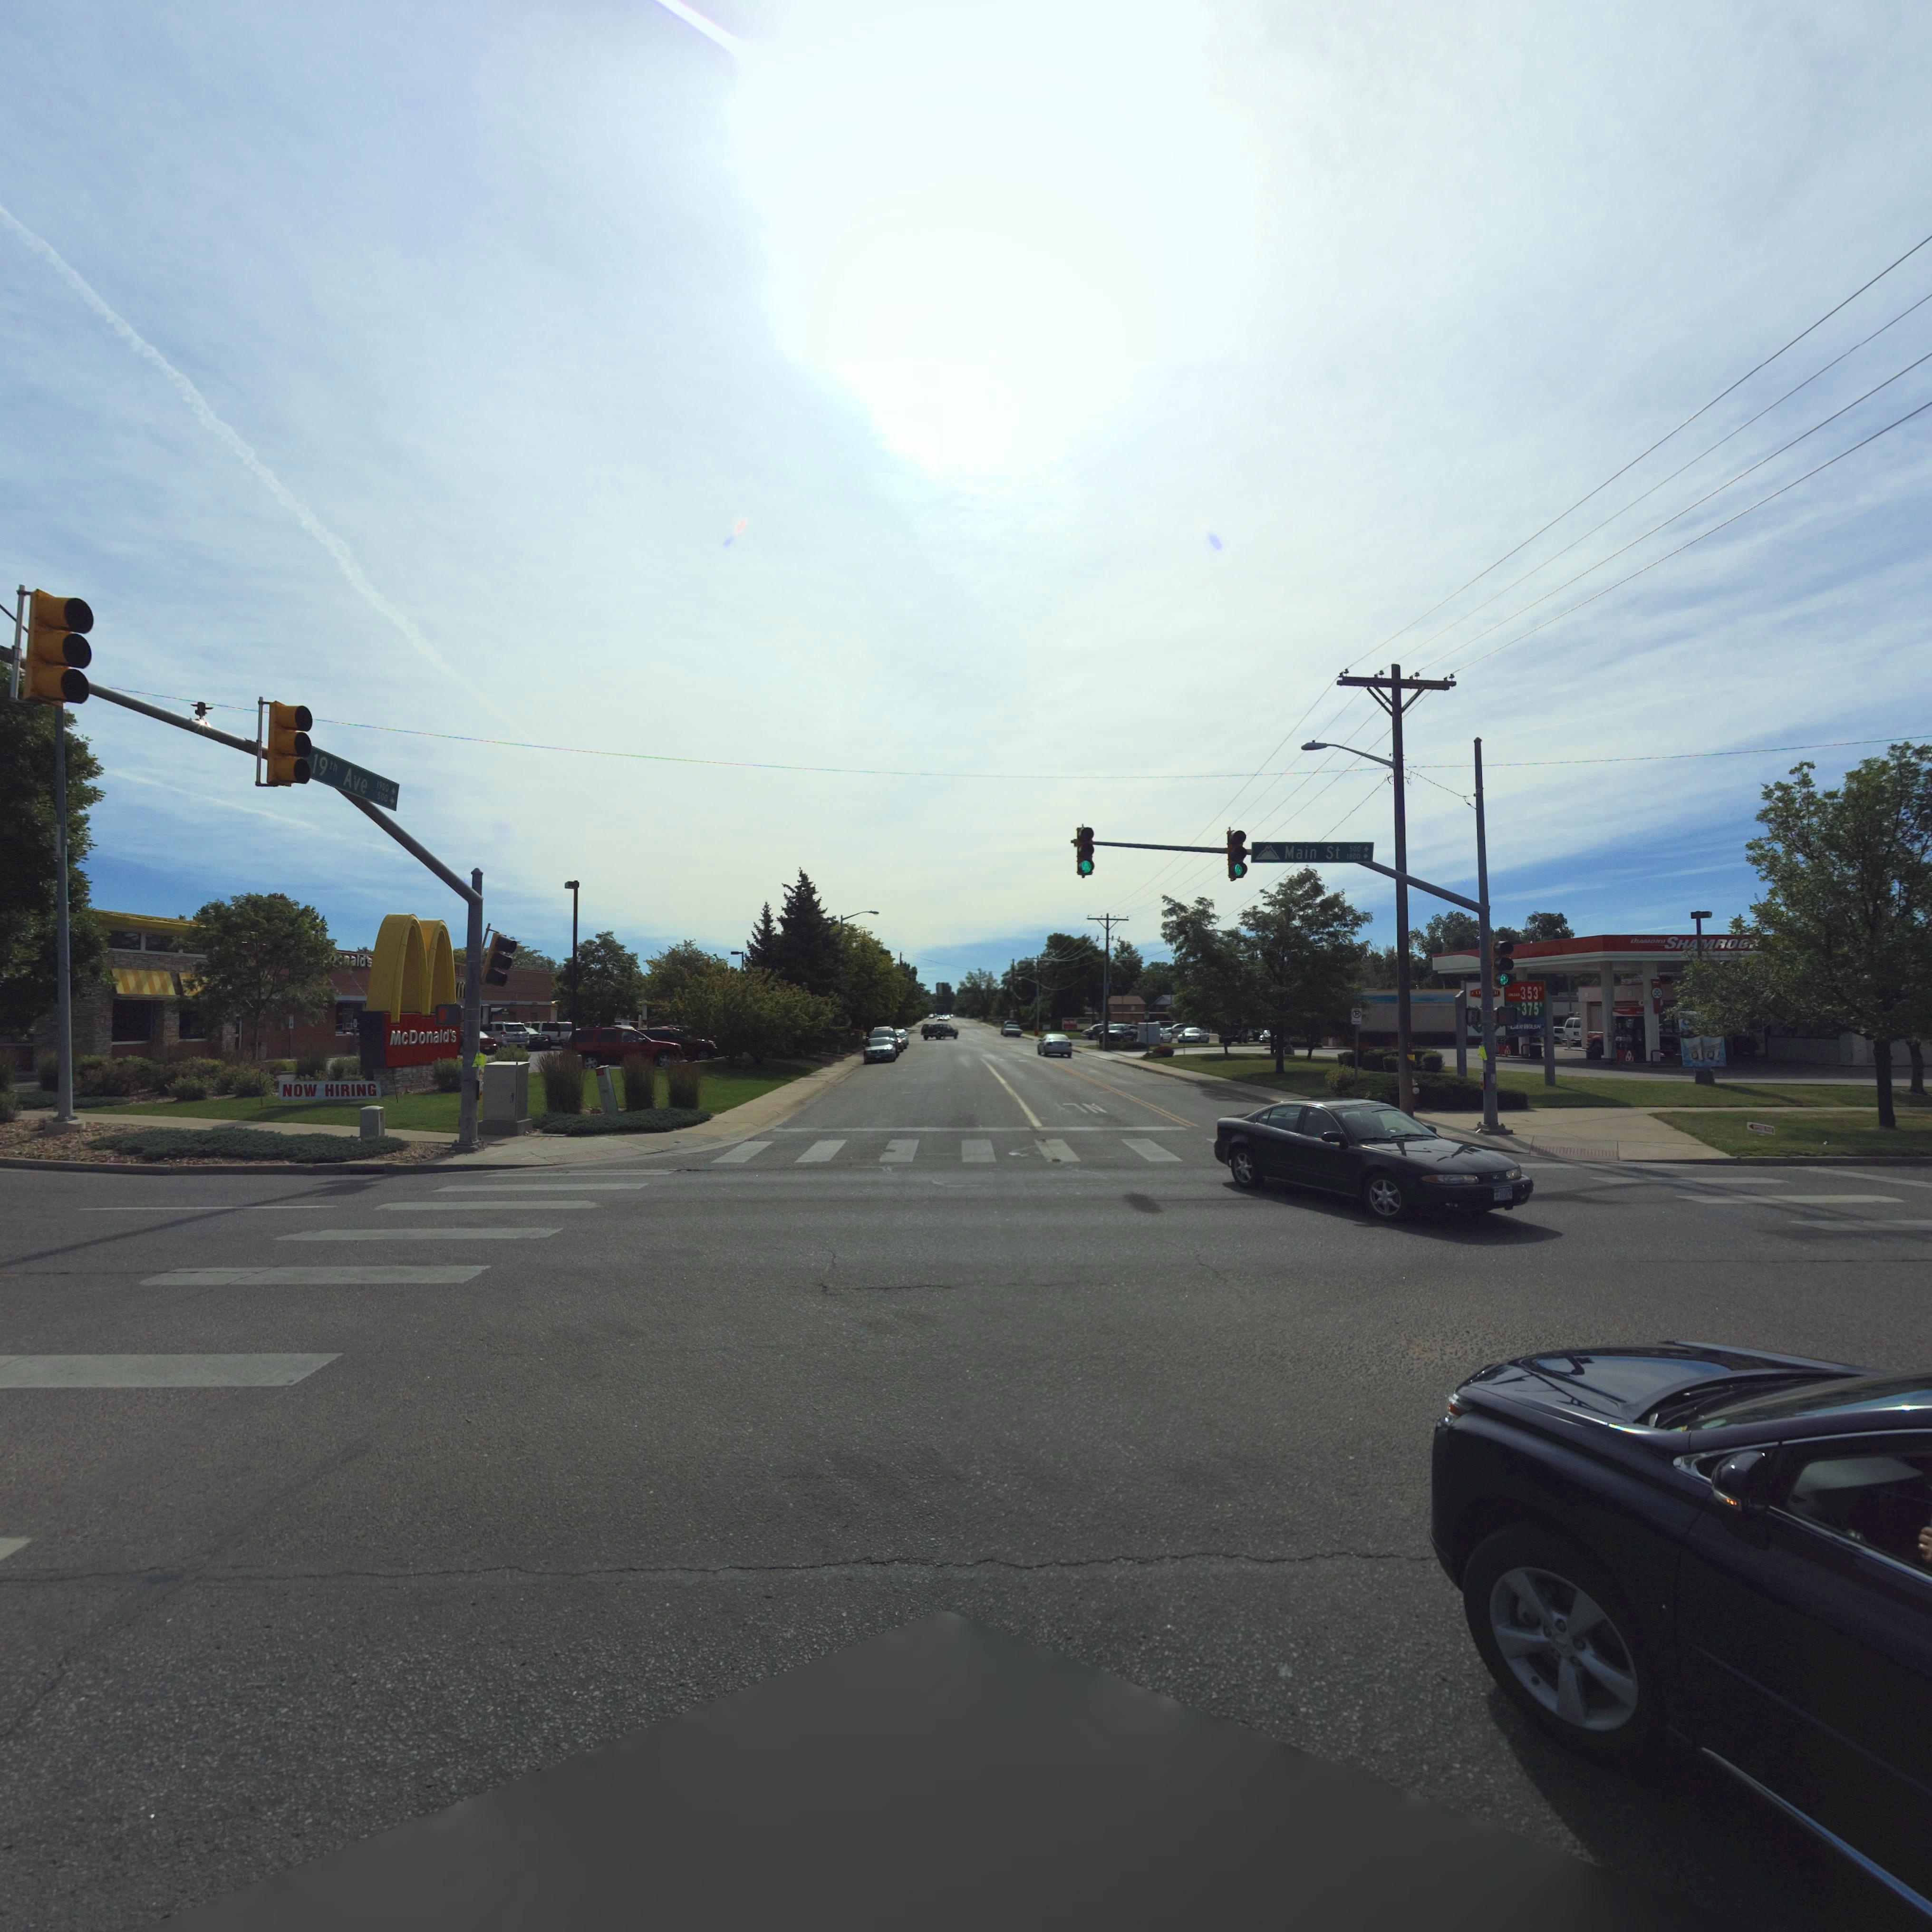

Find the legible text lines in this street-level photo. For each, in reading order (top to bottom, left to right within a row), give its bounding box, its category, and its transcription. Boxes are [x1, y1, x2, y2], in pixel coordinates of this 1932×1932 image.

[310, 753, 368, 795] StreetName: 19th Ave
[376, 779, 390, 792] StreetNumberRange: 1900
[377, 790, 395, 803] StreetNumberRange: 500 ->
[1284, 844, 1340, 860] StreetName: Main St
[1348, 844, 1361, 852] StreetNumberRange: 500
[1346, 852, 1369, 859] StreetNumberRange: 1800 ->
[1629, 937, 1666, 944] BusinessName: DIAMOND
[1663, 937, 1761, 950] BusinessName: SHAMRO**
[327, 951, 374, 969] BusinessName: **nald's
[1471, 988, 1499, 995] BusinessName: CO***R
[389, 1028, 458, 1045] BusinessName: McDonald's